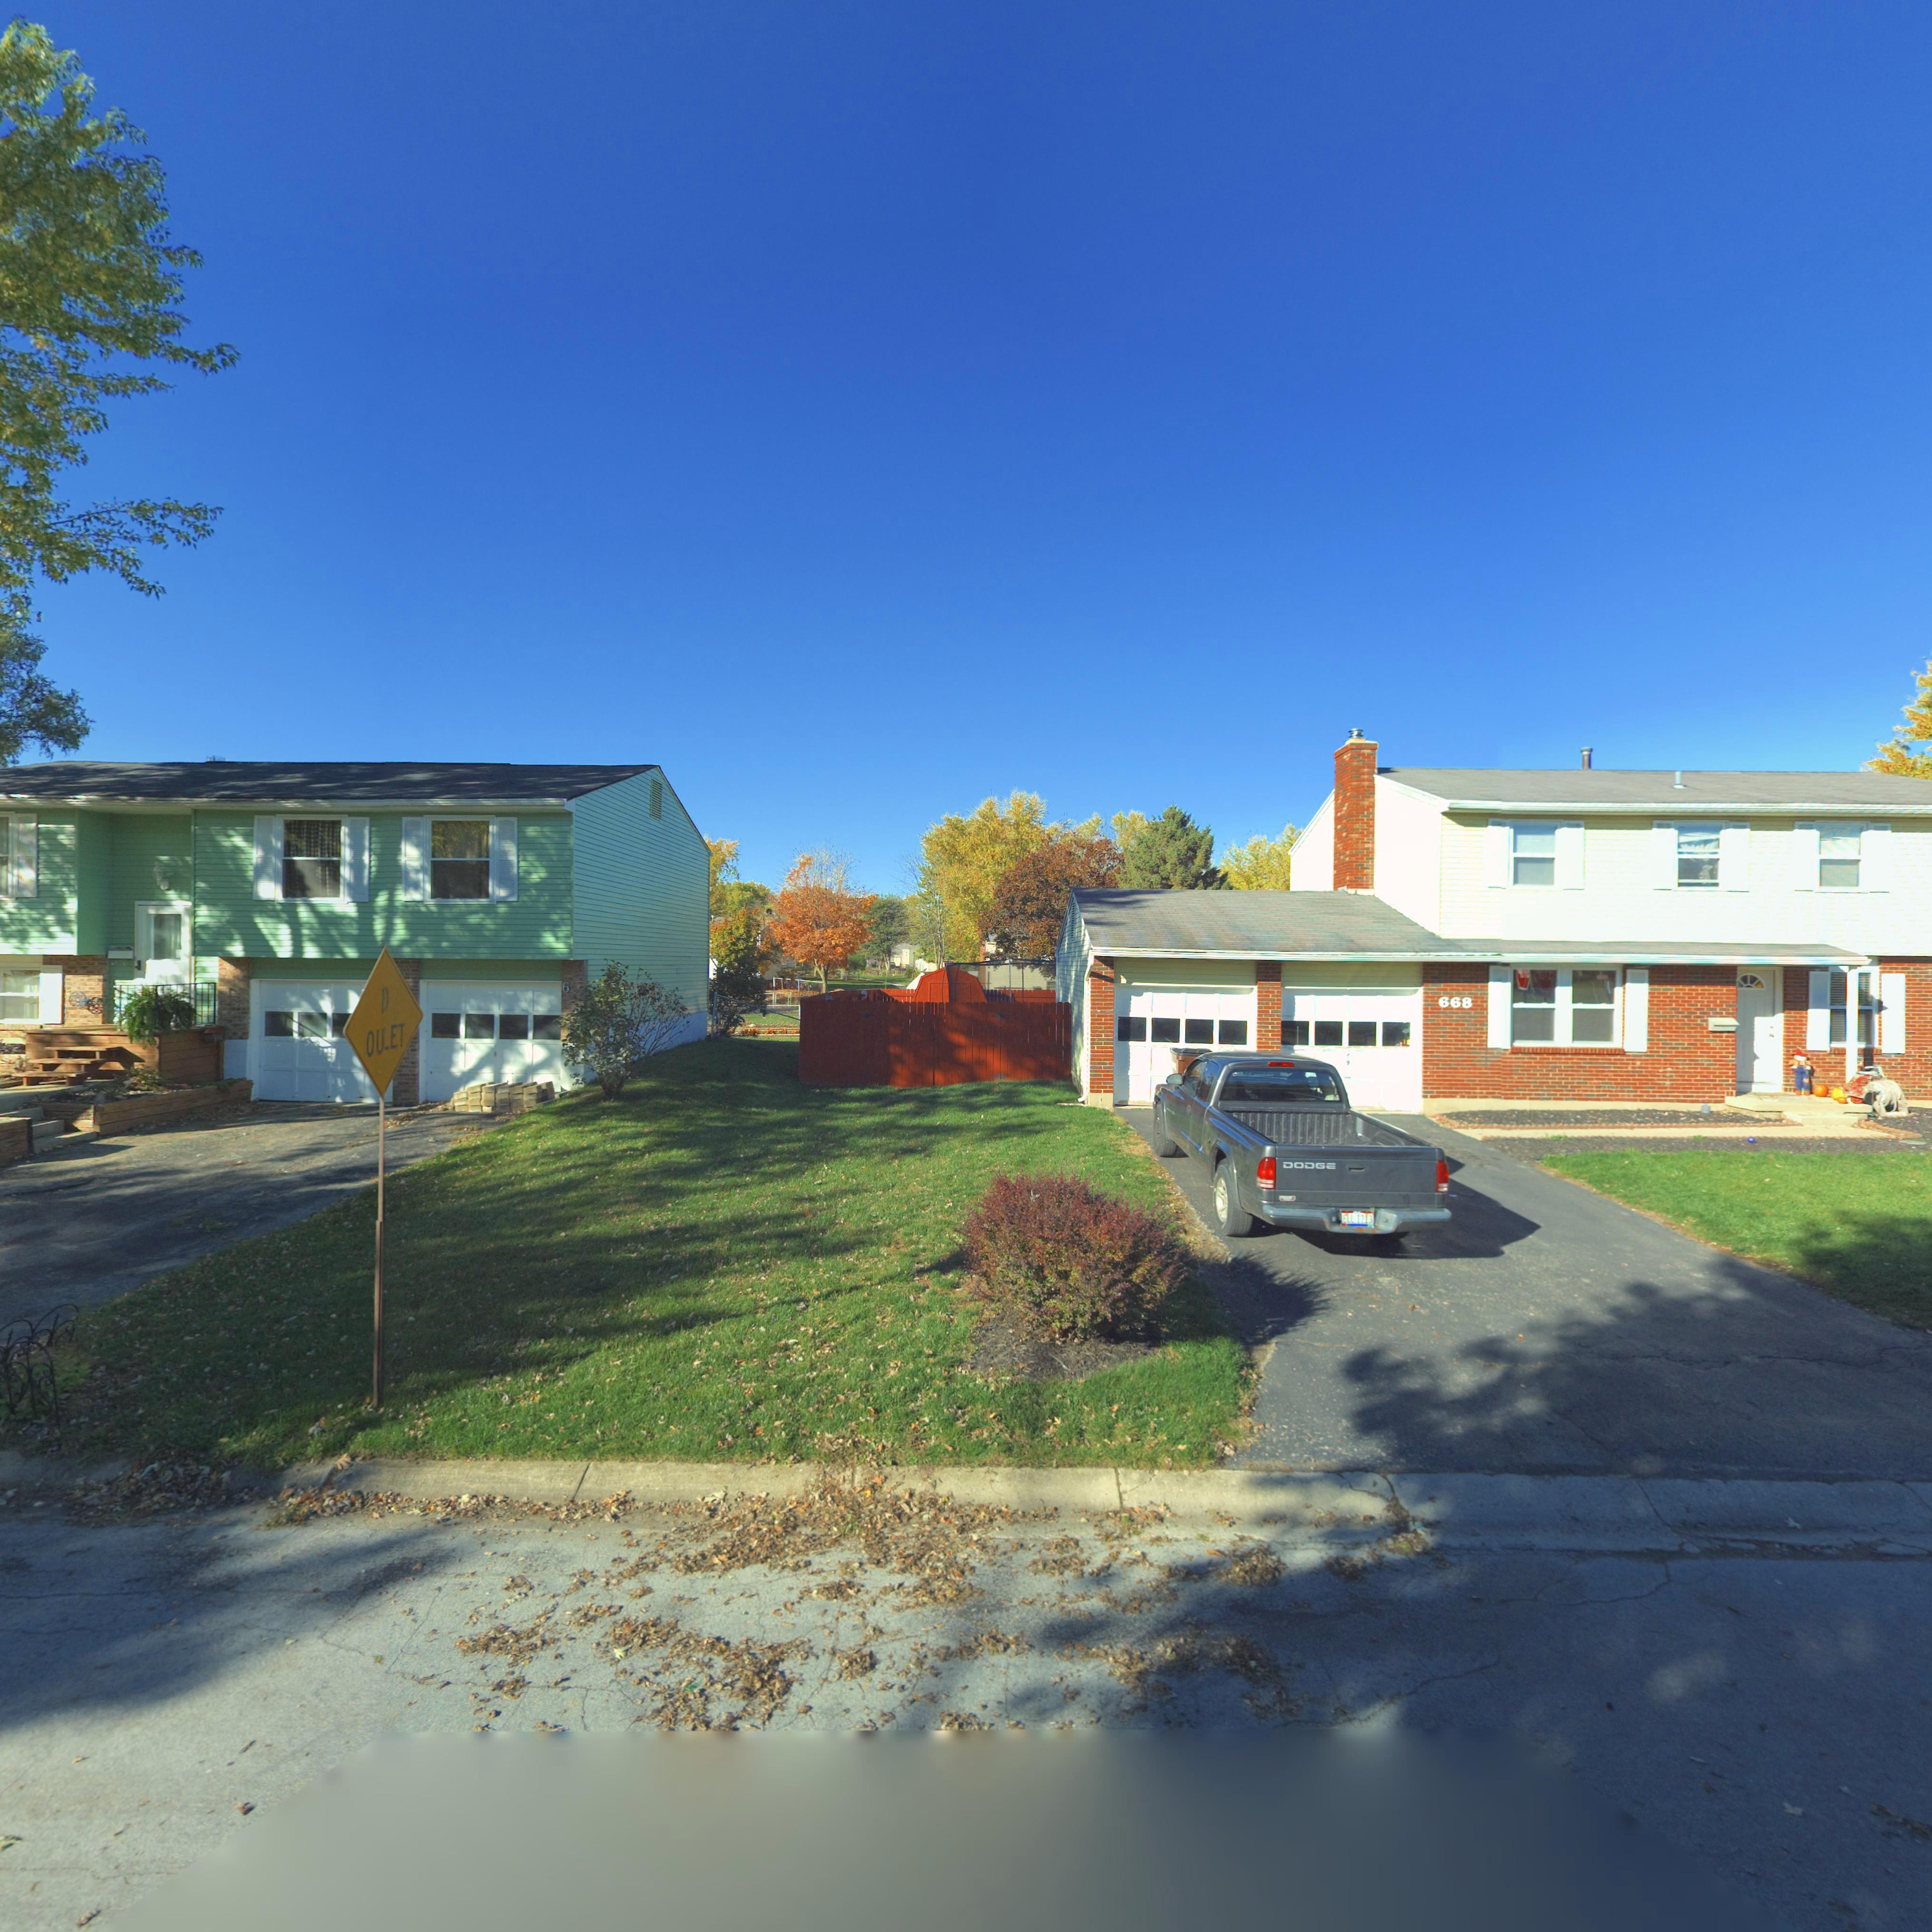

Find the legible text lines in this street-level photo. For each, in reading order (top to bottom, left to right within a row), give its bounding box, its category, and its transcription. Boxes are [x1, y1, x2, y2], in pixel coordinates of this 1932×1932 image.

[562, 981, 570, 994] StreetNumber: 6
[1438, 996, 1473, 1009] StreetNumber: 668